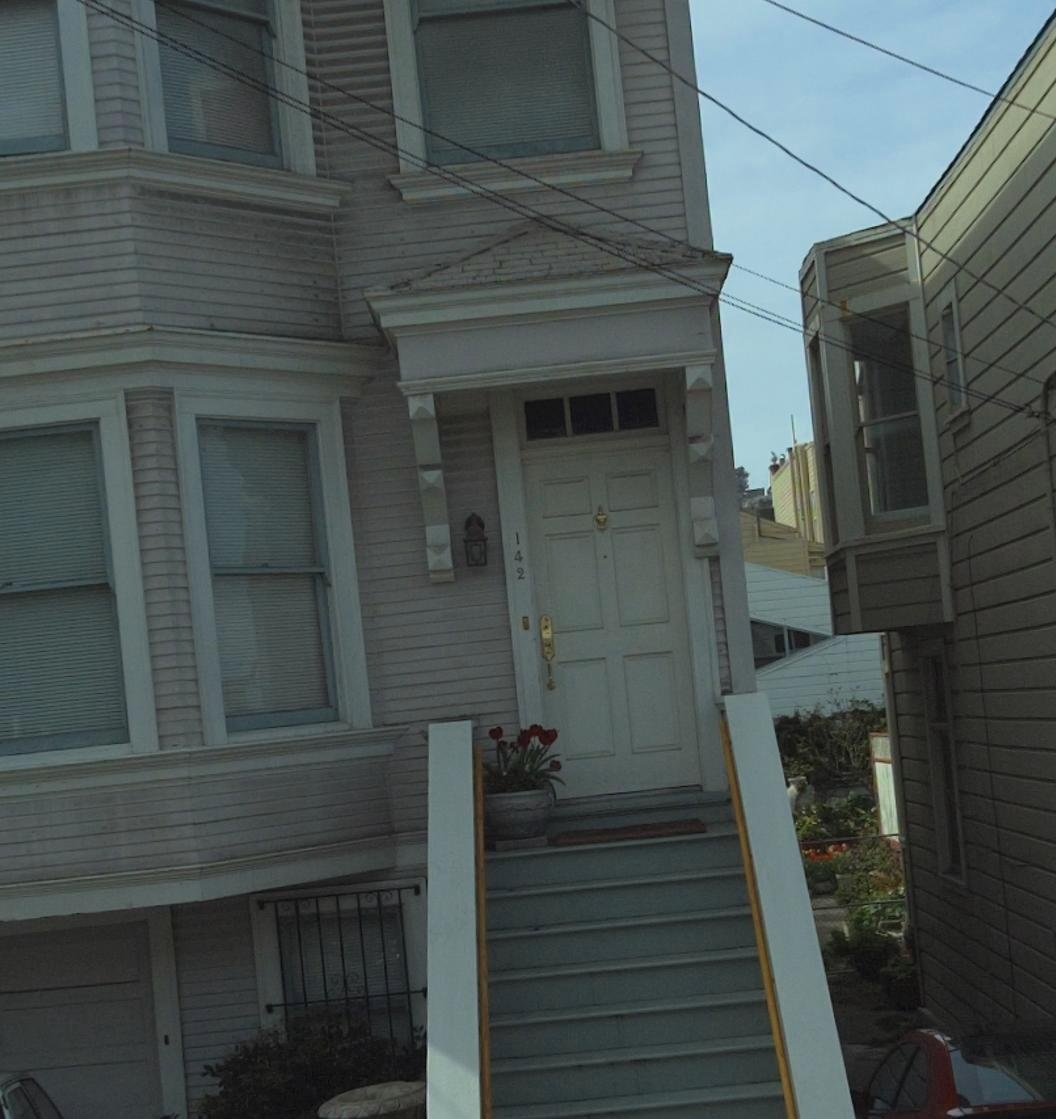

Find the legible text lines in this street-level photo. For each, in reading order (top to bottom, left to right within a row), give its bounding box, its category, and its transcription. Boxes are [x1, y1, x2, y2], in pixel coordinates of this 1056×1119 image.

[512, 530, 526, 581] StreetNumber: 142